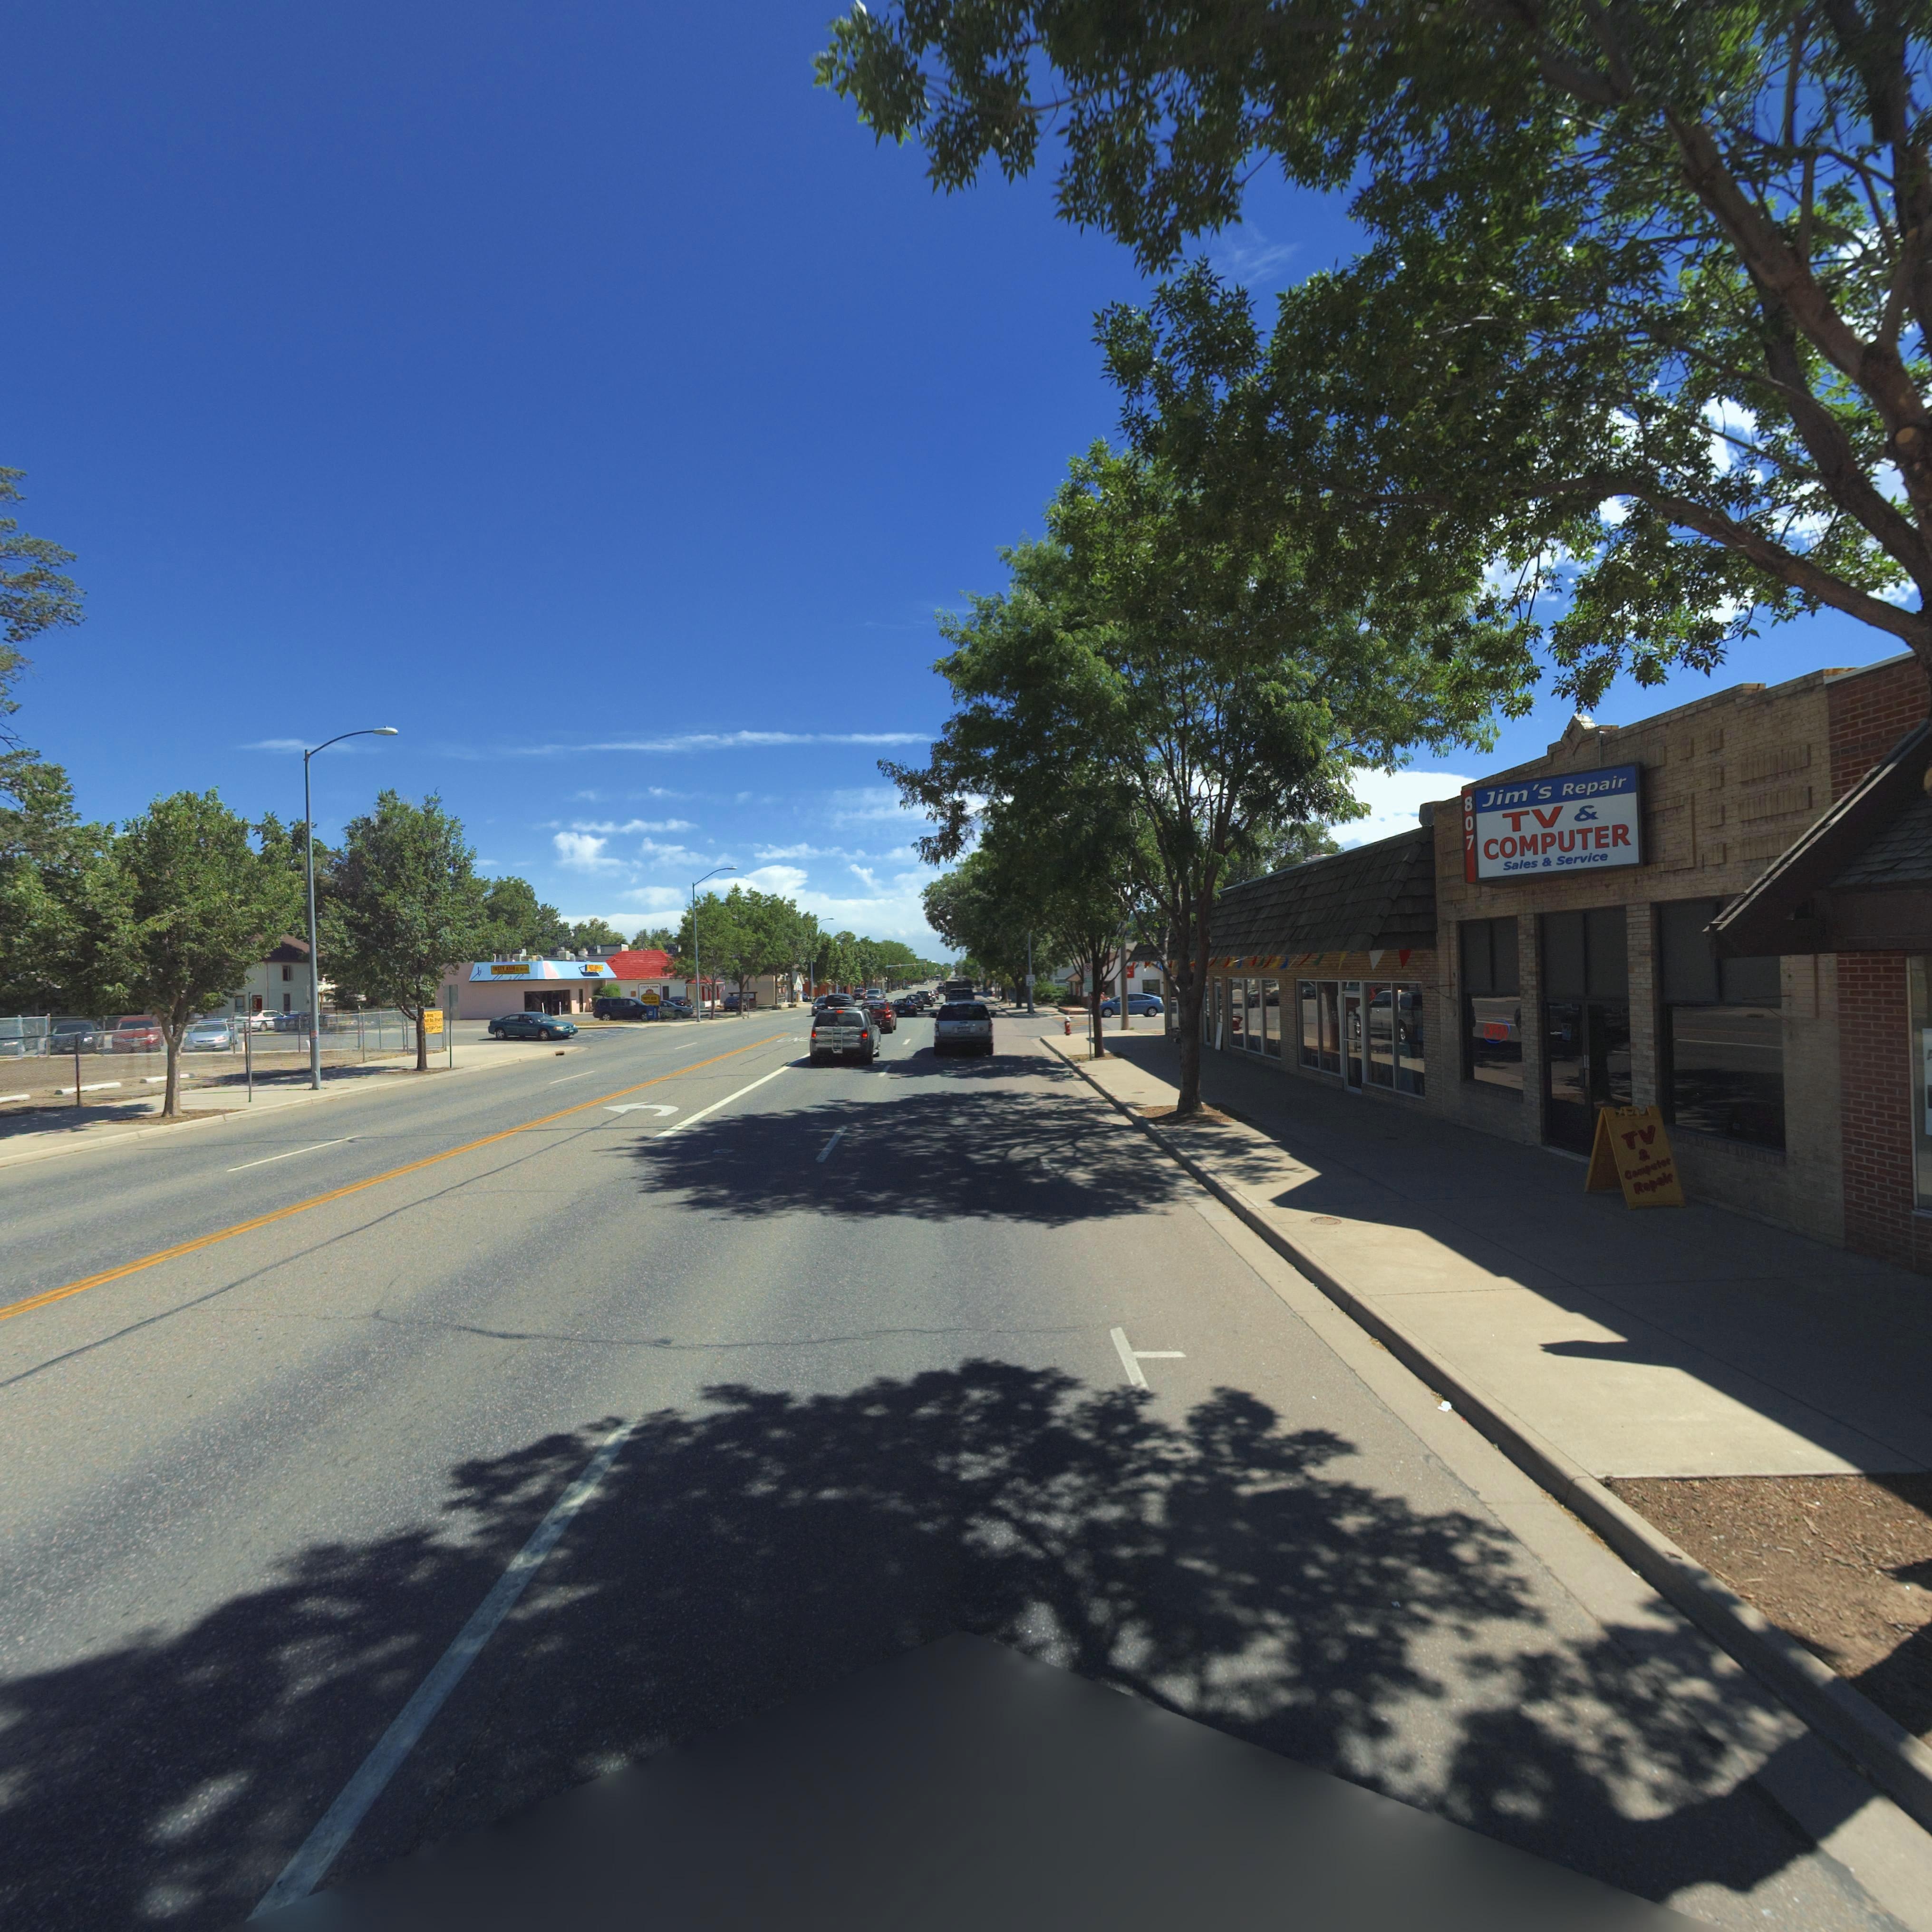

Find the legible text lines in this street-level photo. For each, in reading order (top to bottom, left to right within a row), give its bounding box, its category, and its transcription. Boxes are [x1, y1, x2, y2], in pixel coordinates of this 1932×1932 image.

[1481, 775, 1627, 808] BusinessName: Jim's Repair
[1464, 795, 1474, 850] StreetNumber: 807
[492, 966, 515, 971] BusinessName: TASTY ASIA
[641, 996, 657, 1000] BusinessName: T**TY ****